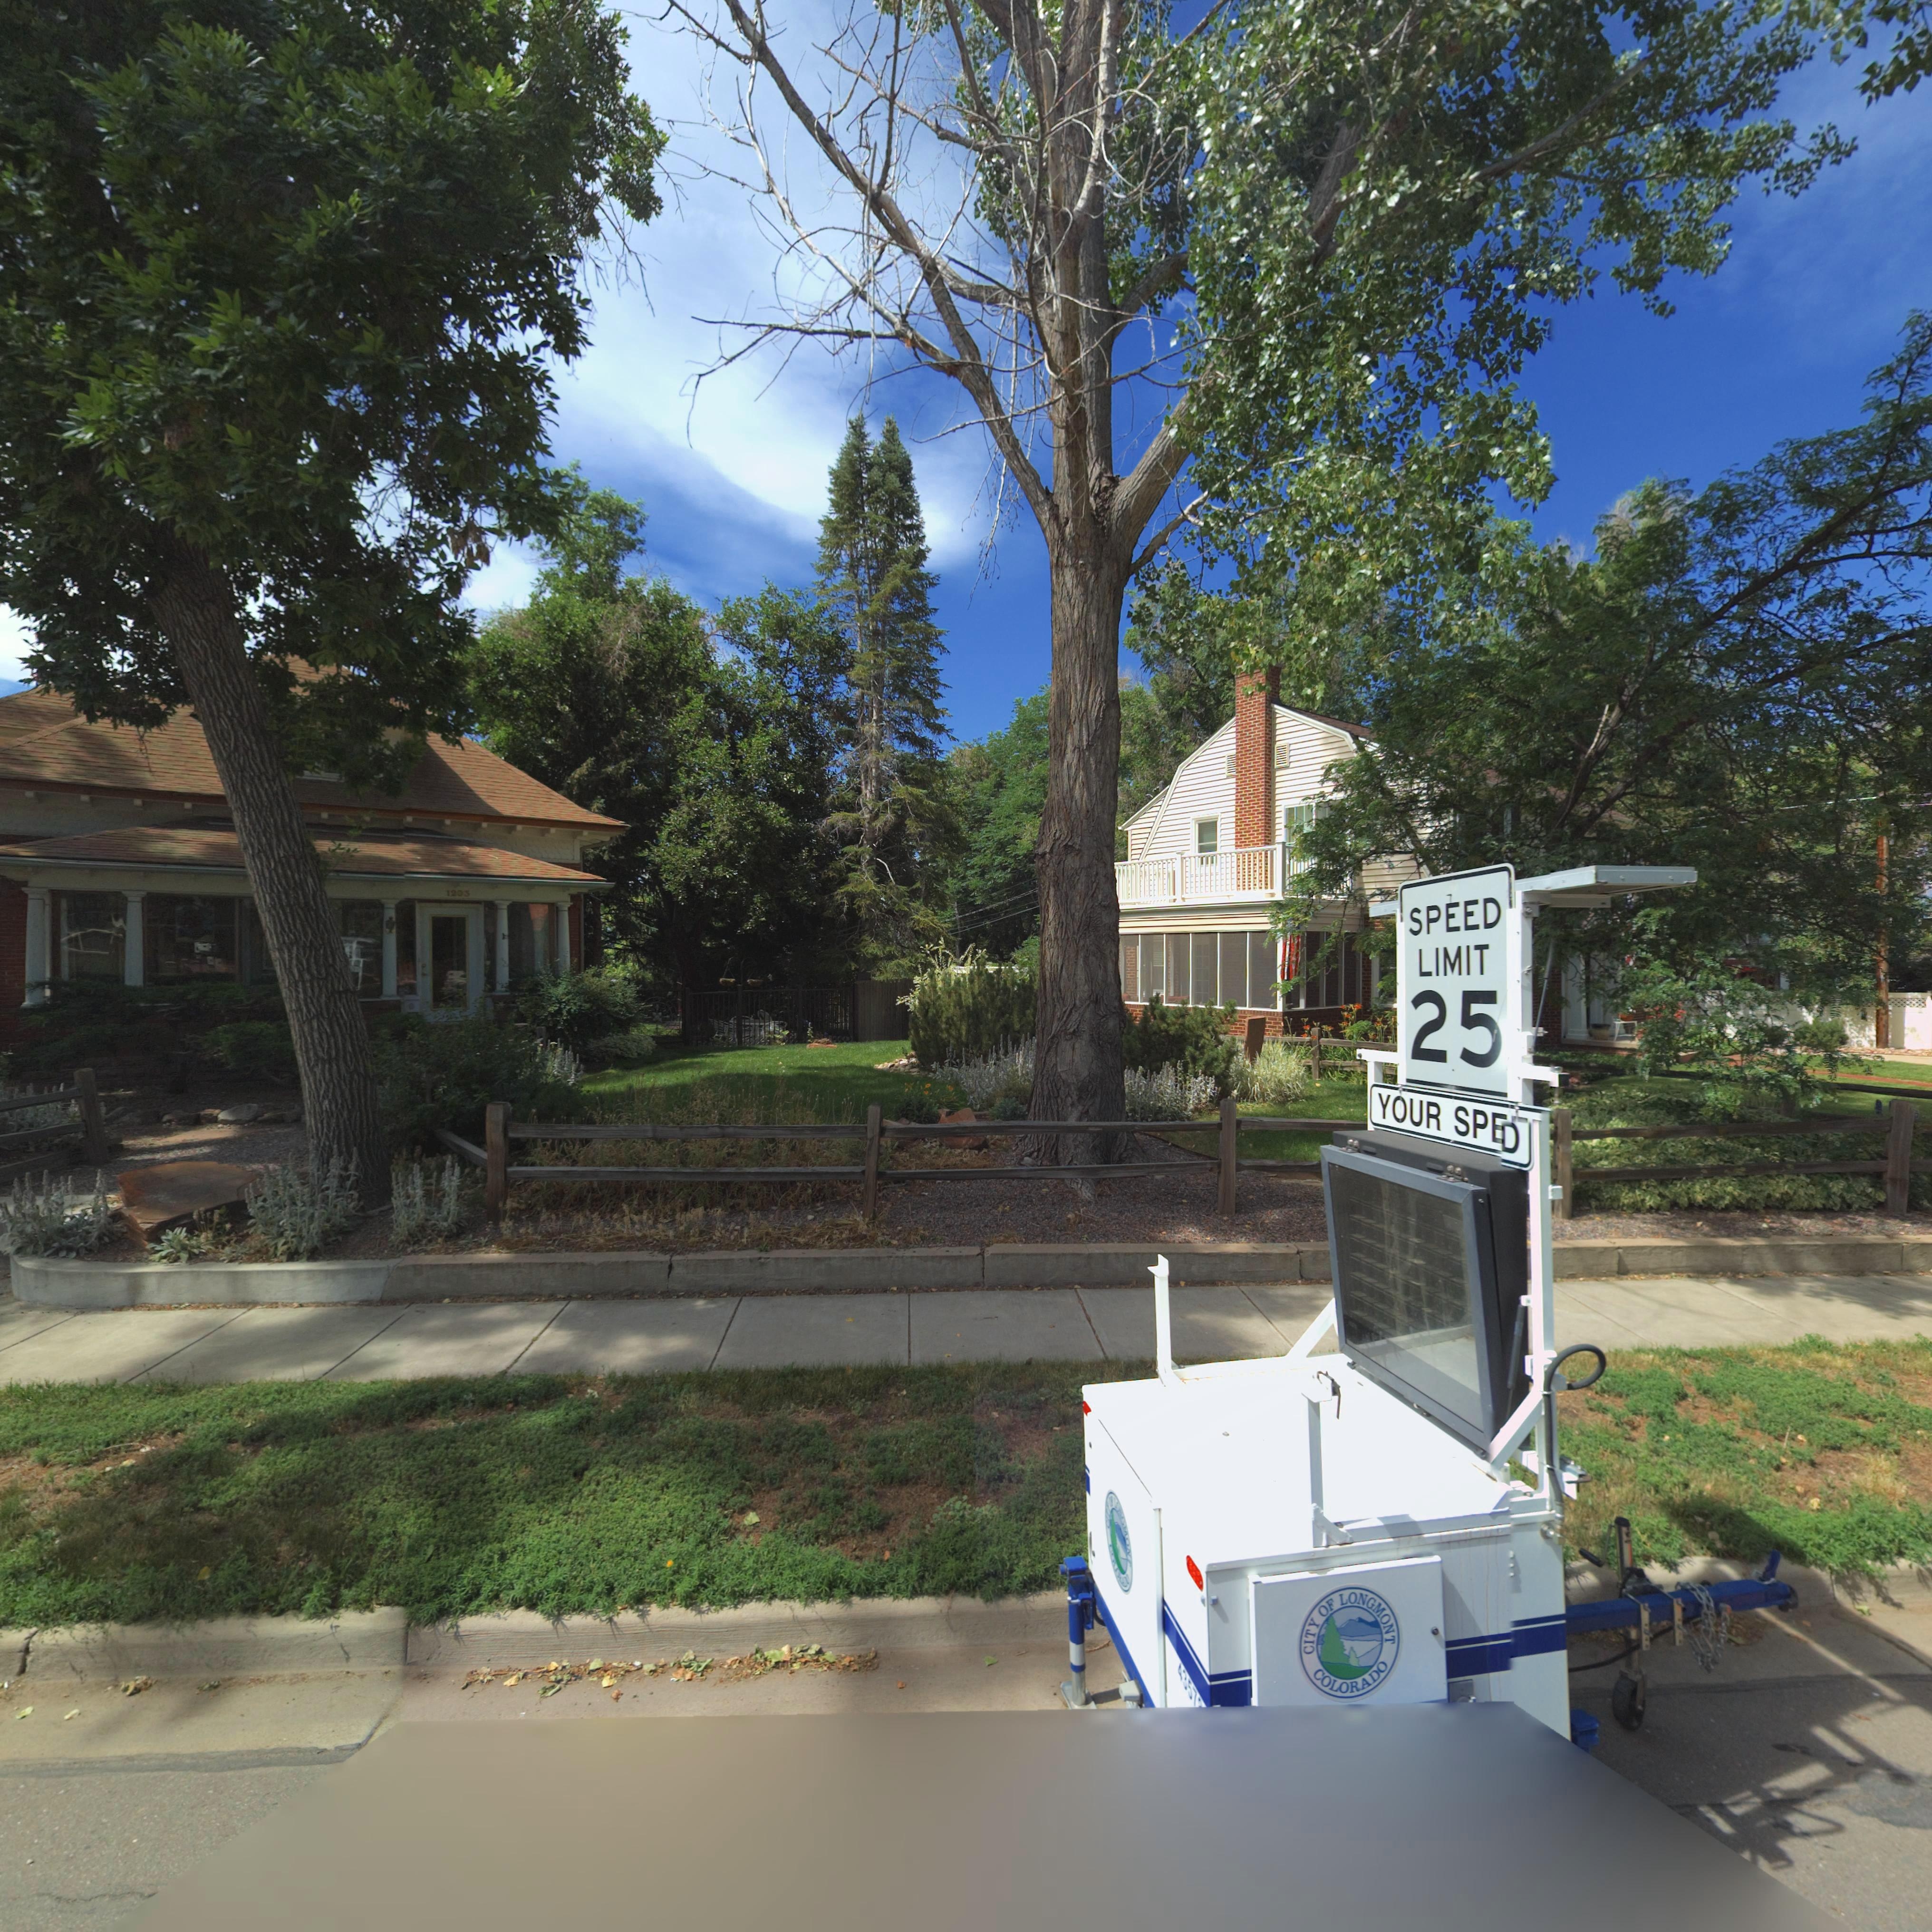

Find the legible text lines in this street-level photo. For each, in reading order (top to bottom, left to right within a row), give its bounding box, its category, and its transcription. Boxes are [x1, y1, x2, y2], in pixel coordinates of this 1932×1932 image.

[446, 889, 470, 897] StreetNumber: 1203